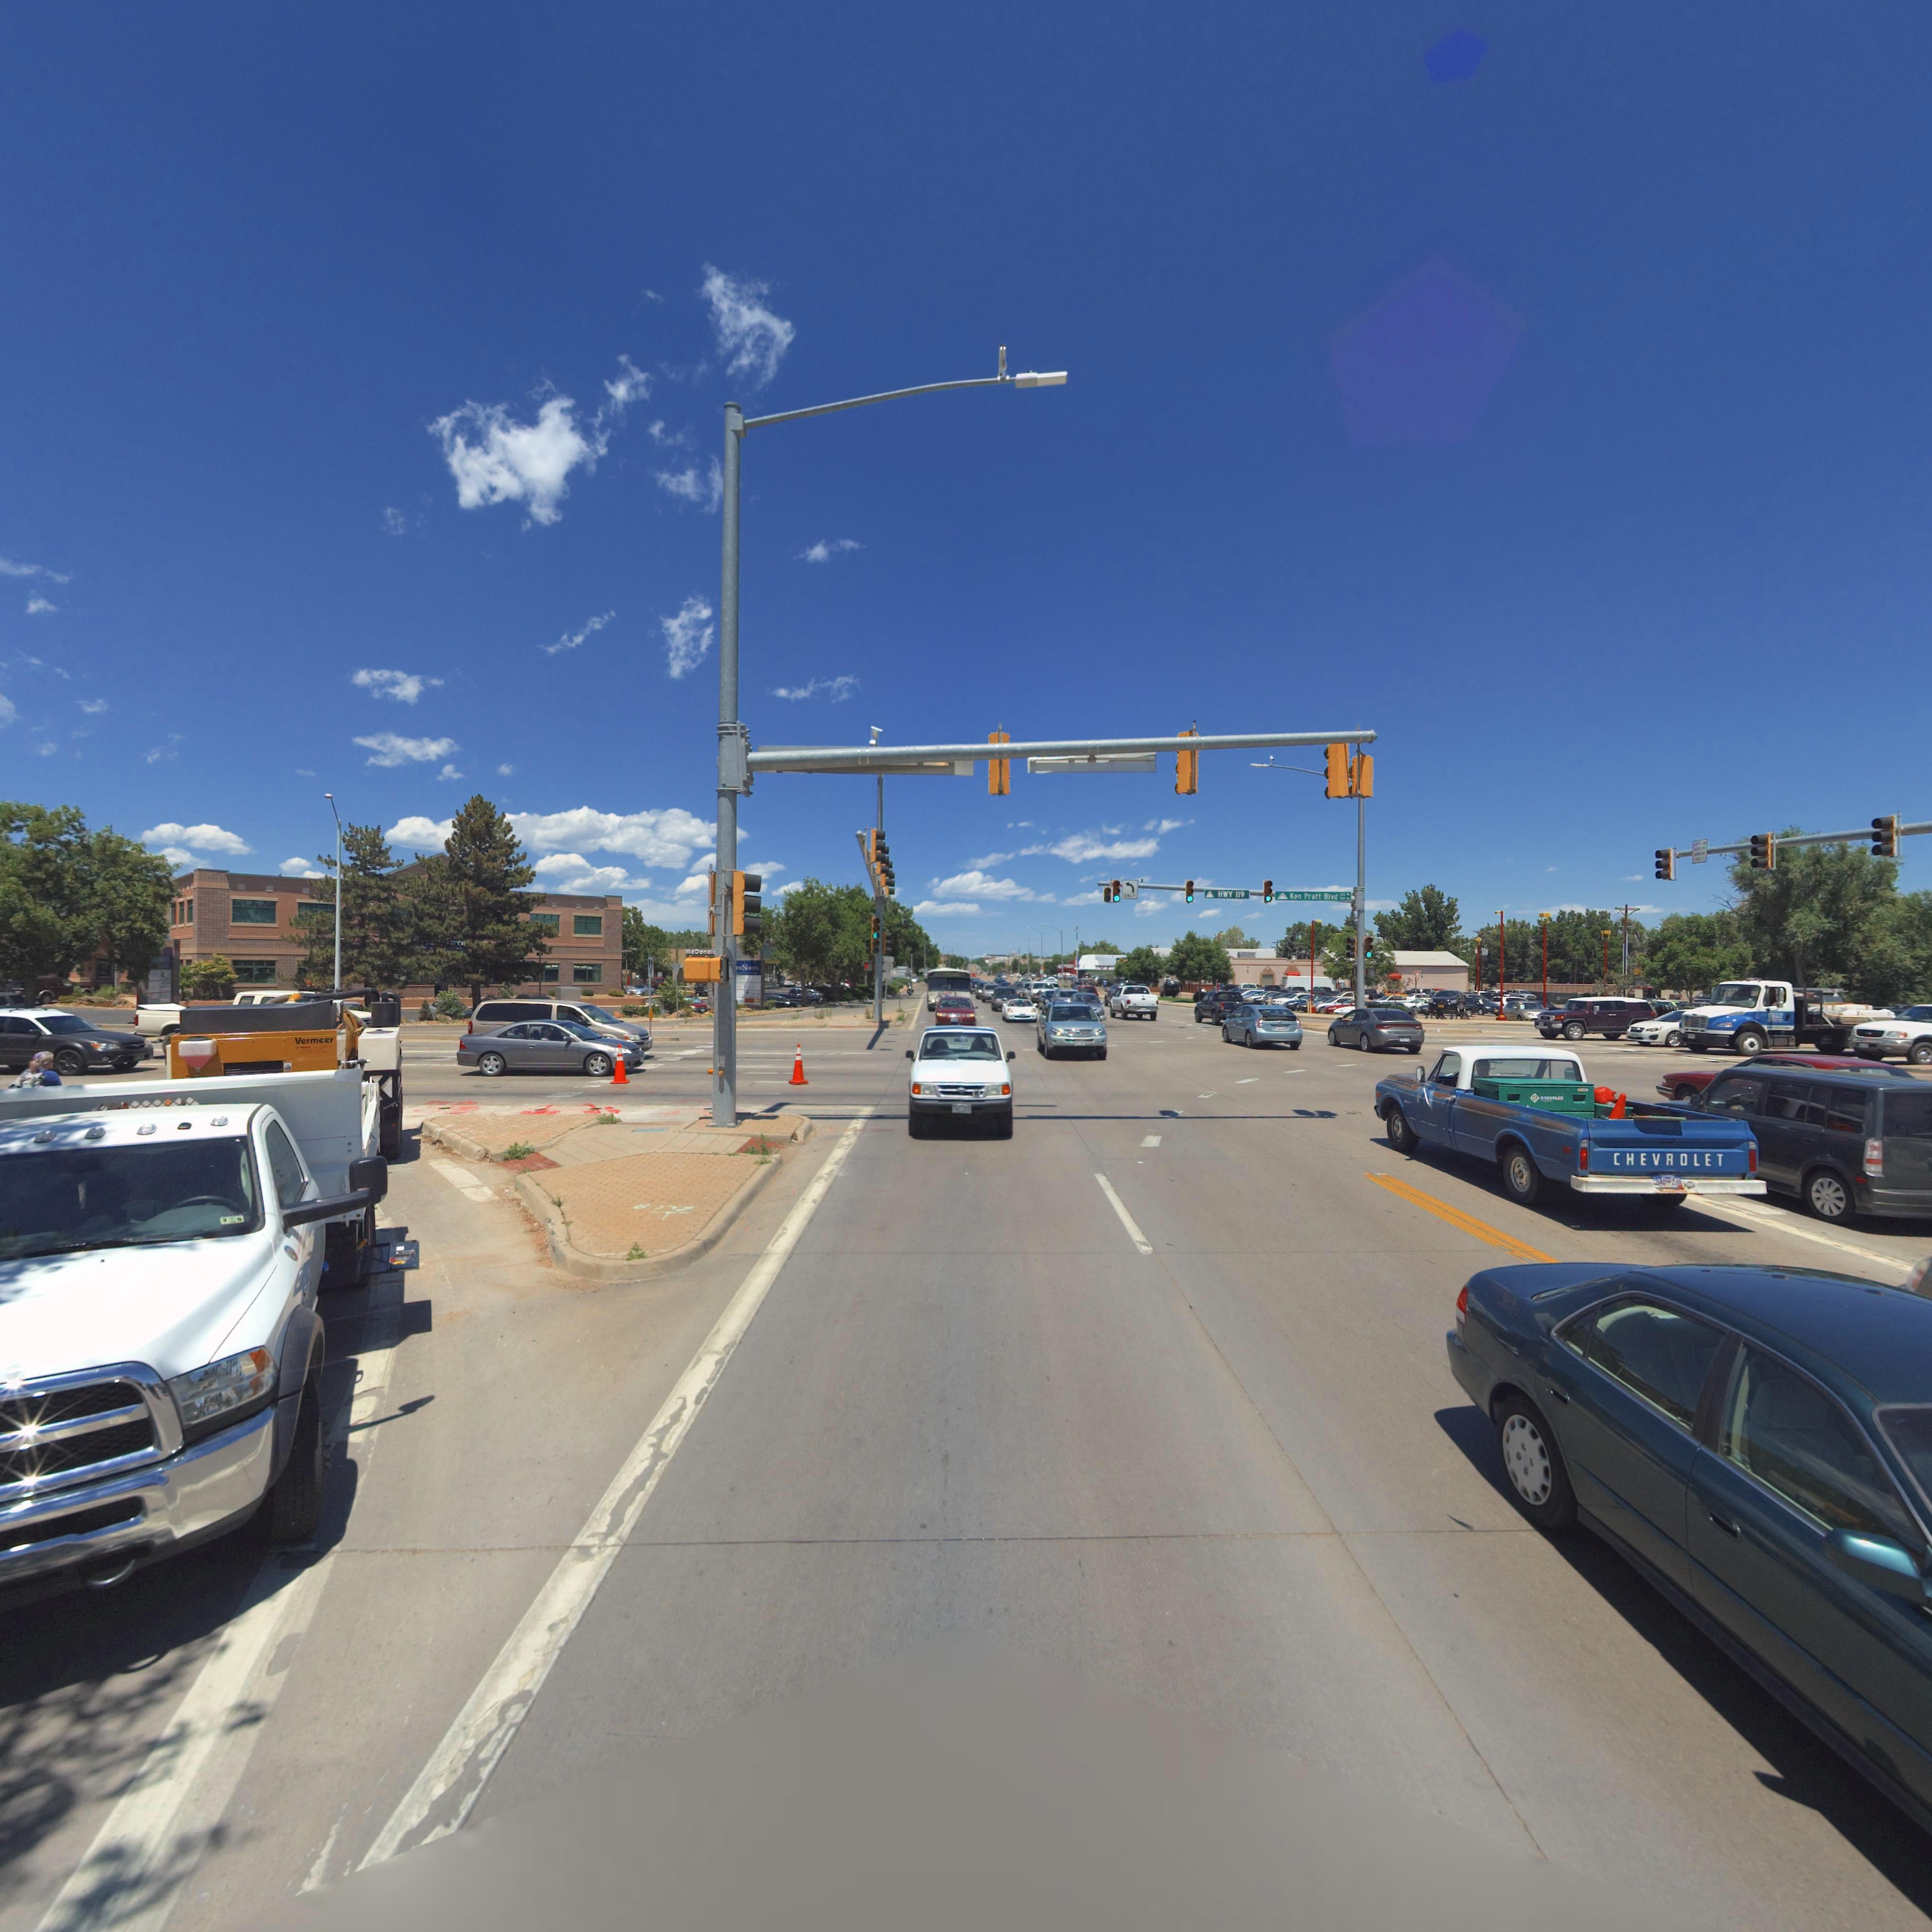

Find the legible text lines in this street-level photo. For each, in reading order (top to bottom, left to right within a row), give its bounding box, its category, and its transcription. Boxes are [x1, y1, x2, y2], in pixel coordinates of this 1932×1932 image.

[1217, 890, 1245, 898] StreetName: HWY 119
[1289, 892, 1338, 900] StreetName: Ken Pratt Blvd
[1339, 892, 1346, 896] StreetNumberRange: *00
[1339, 897, 1349, 900] StreetNumberRange: 500 ->
[685, 948, 713, 955] StreetNumber: McDonal
[738, 964, 759, 972] BusinessName: *ORTH